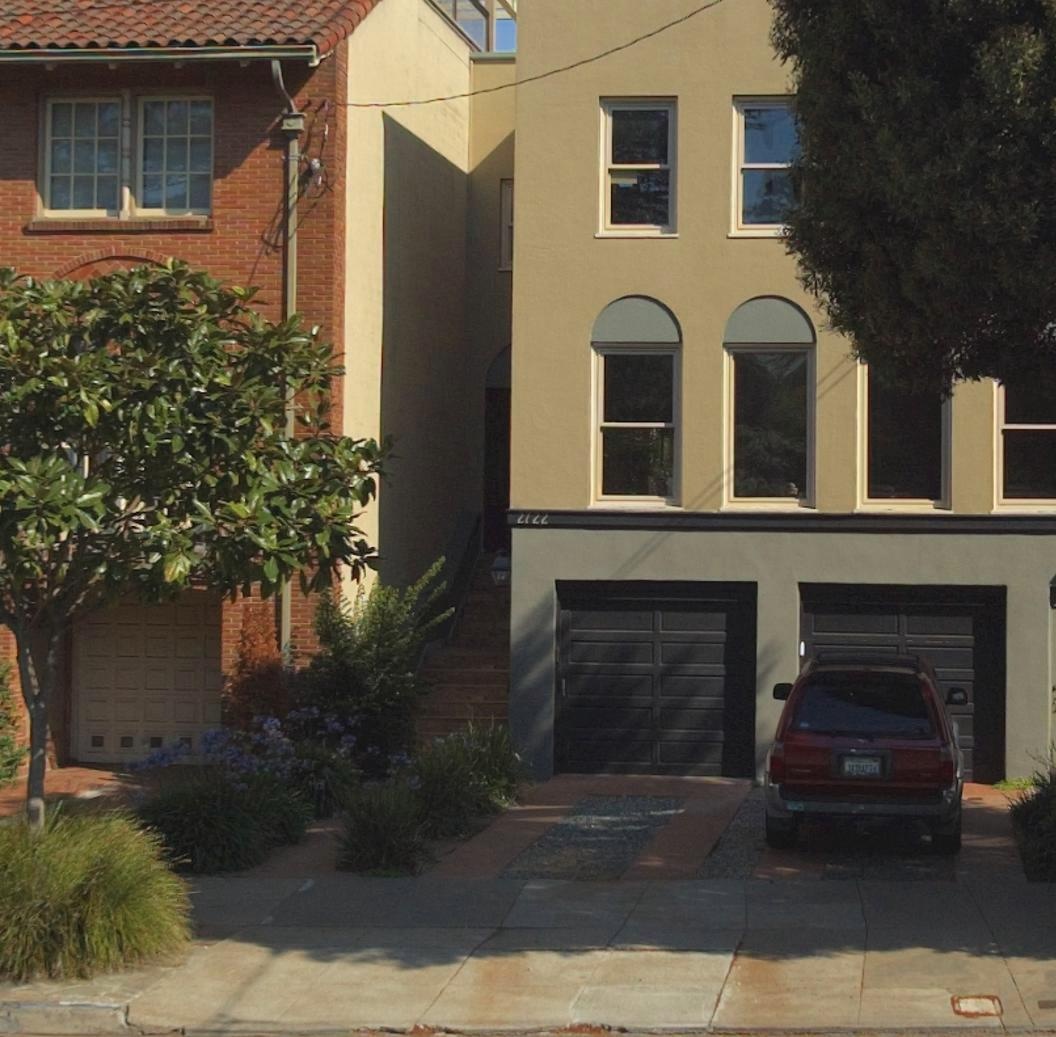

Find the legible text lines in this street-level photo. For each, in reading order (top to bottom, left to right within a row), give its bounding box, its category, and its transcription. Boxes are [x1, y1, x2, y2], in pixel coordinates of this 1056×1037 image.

[514, 510, 551, 525] StreetNumber: 2722